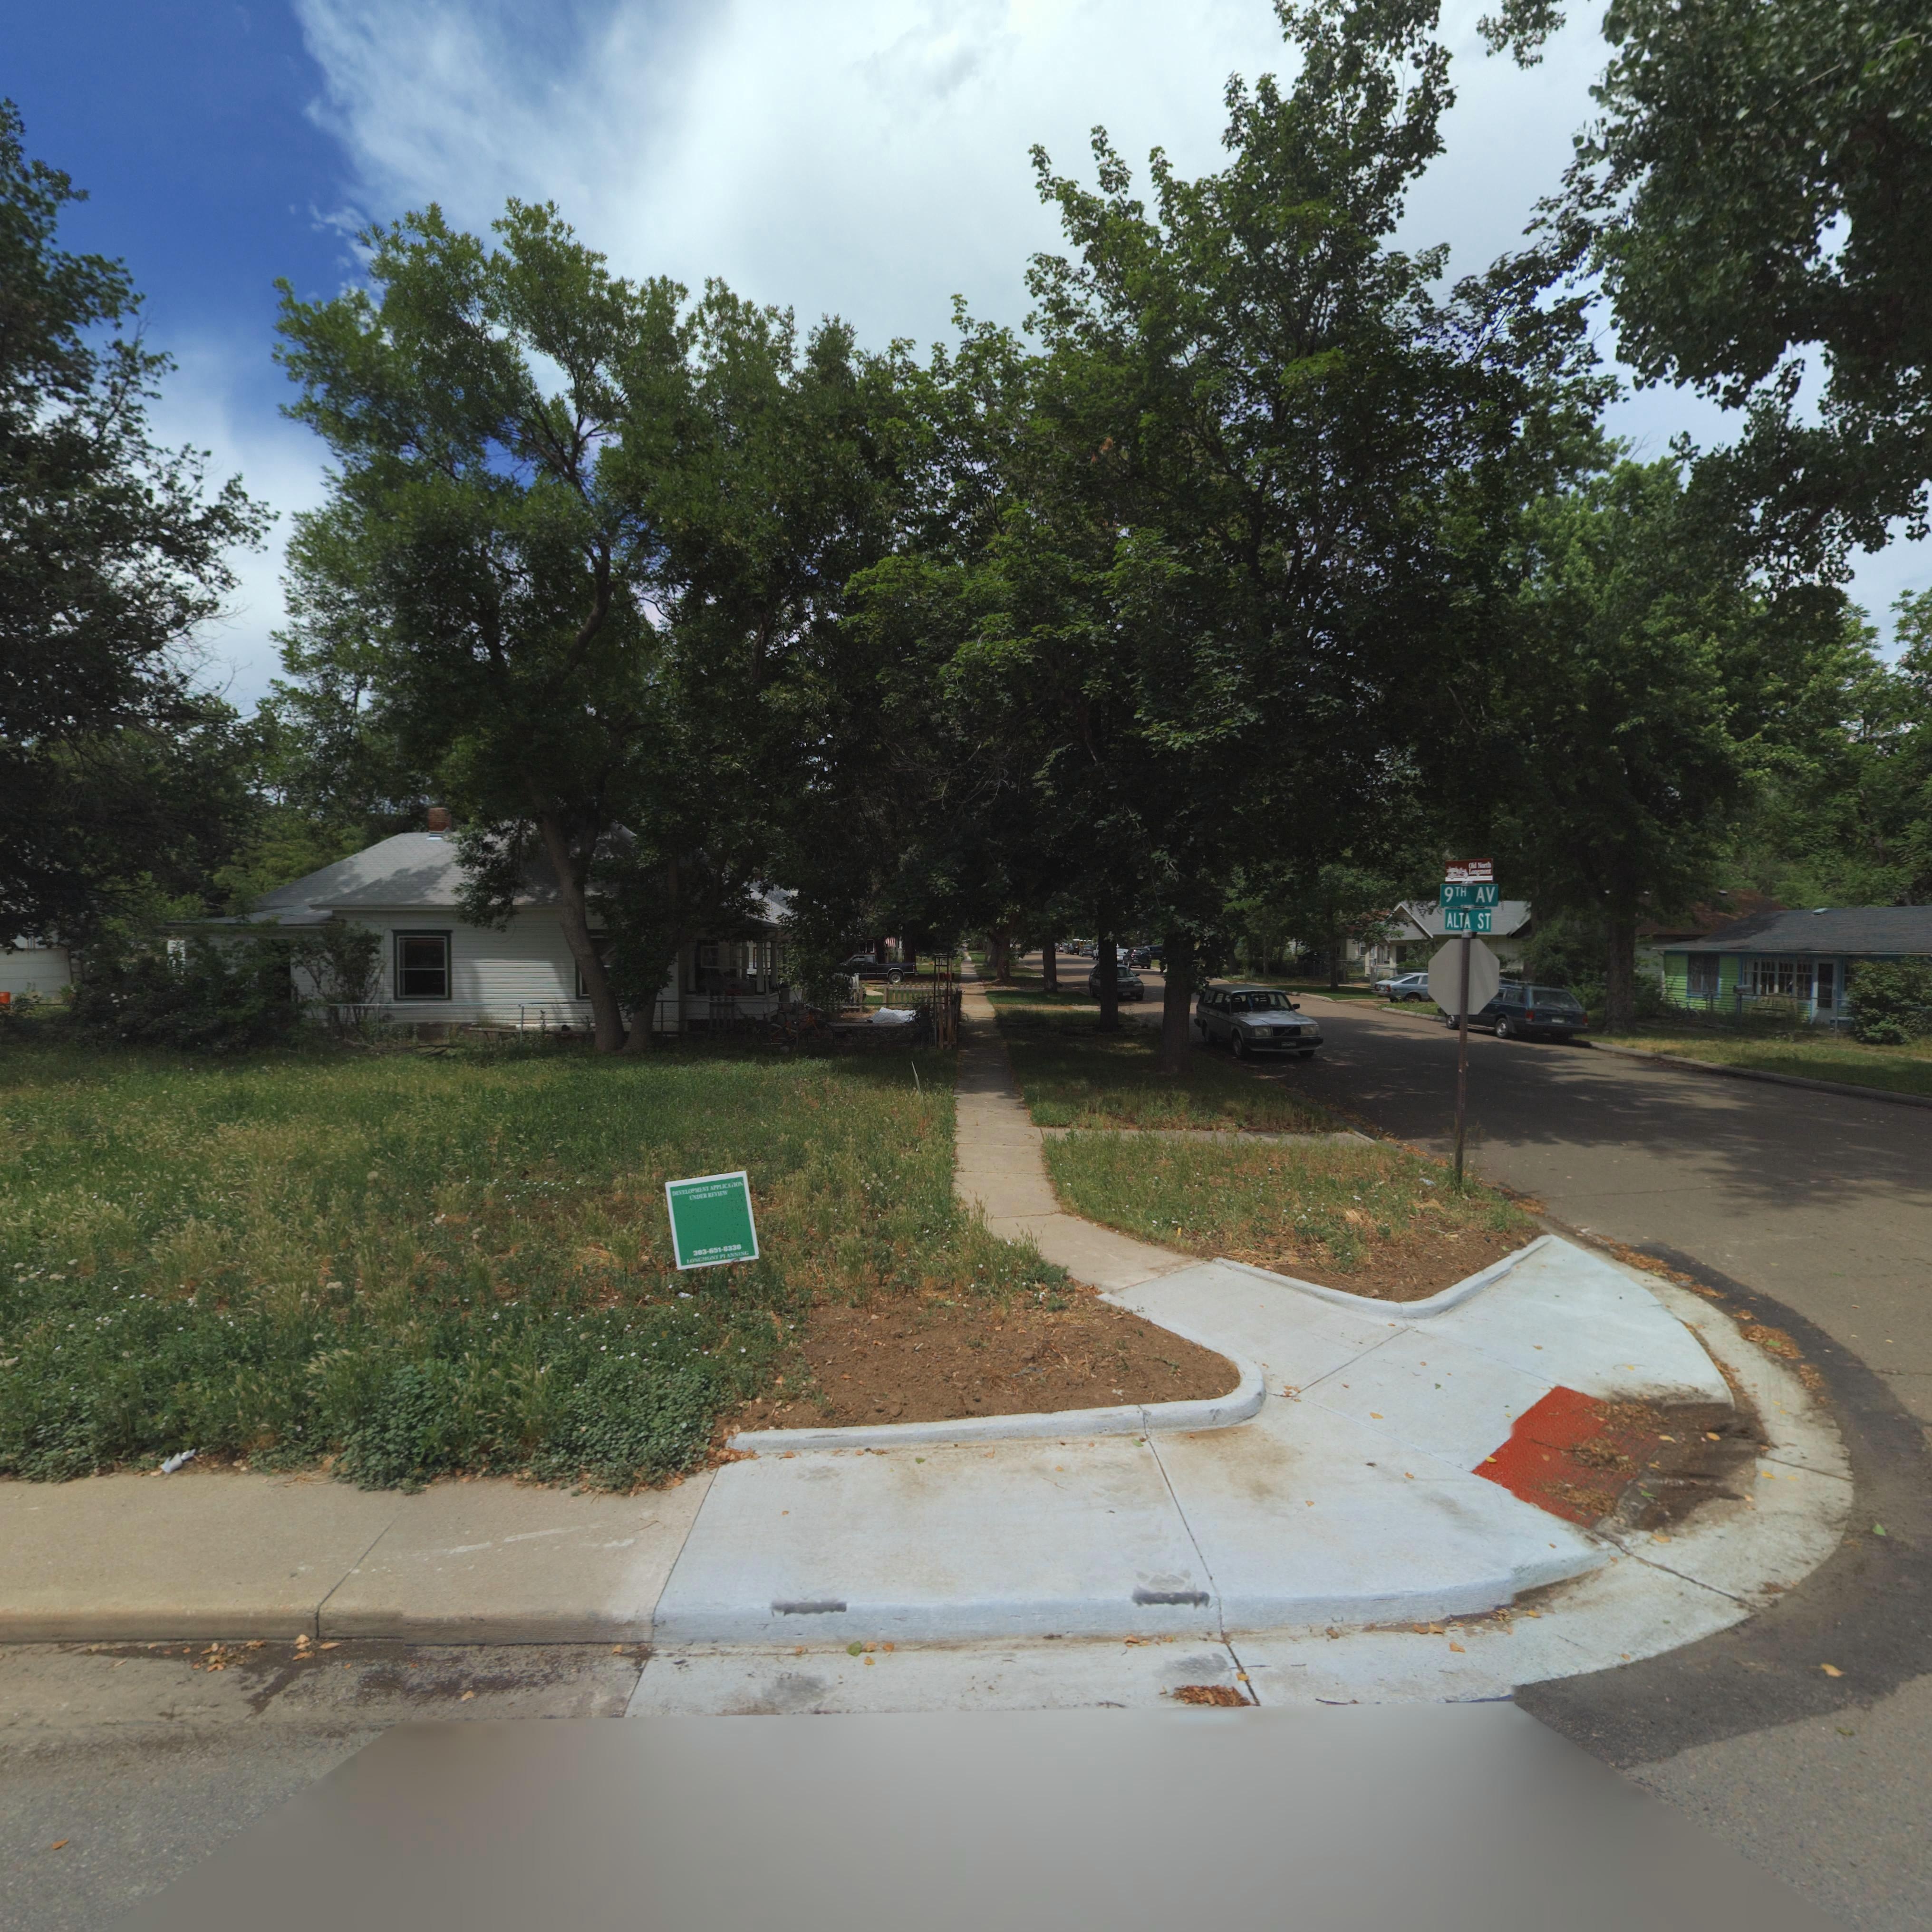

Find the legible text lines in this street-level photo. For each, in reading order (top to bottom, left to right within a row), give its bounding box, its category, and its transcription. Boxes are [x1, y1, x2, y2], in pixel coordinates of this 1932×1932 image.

[1443, 886, 1496, 903] StreetName: 9TH AV
[1446, 911, 1491, 929] StreetName: ALTA ST